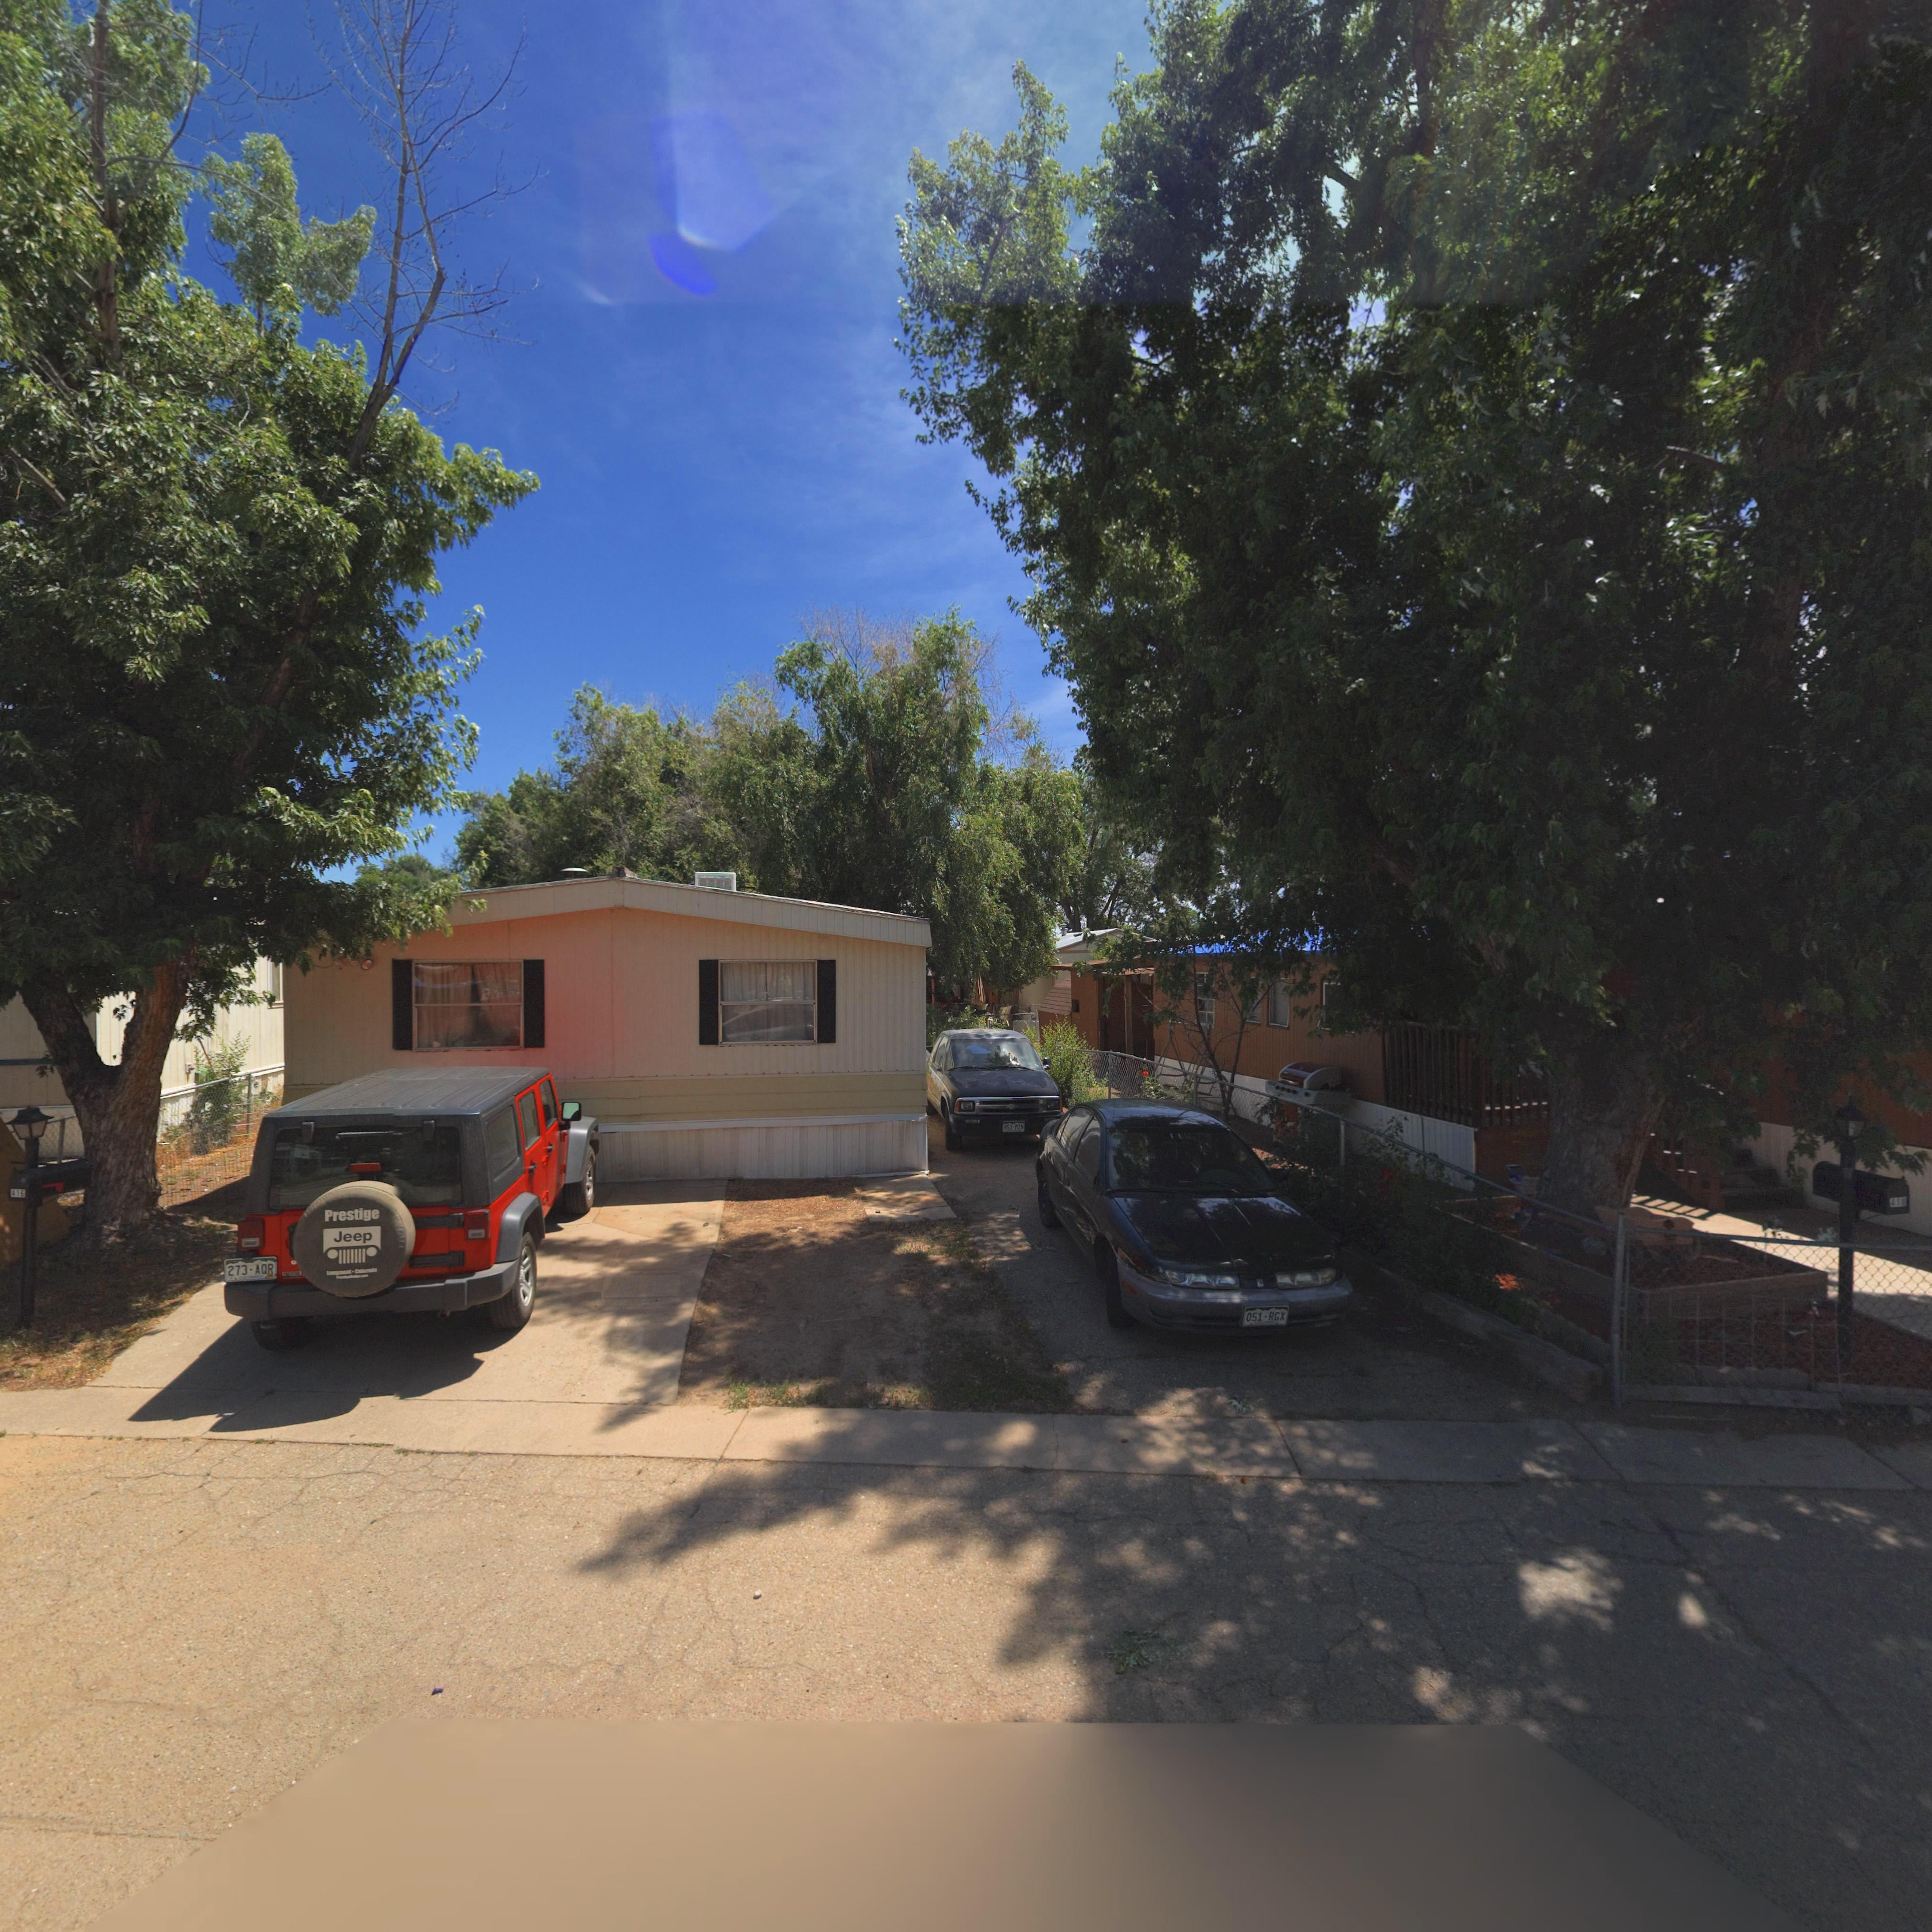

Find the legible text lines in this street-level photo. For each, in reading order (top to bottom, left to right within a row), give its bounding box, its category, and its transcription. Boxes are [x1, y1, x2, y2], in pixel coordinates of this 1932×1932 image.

[11, 1189, 24, 1197] StreetNumber: 416
[1891, 1197, 1906, 1206] StreetNumber: *1*